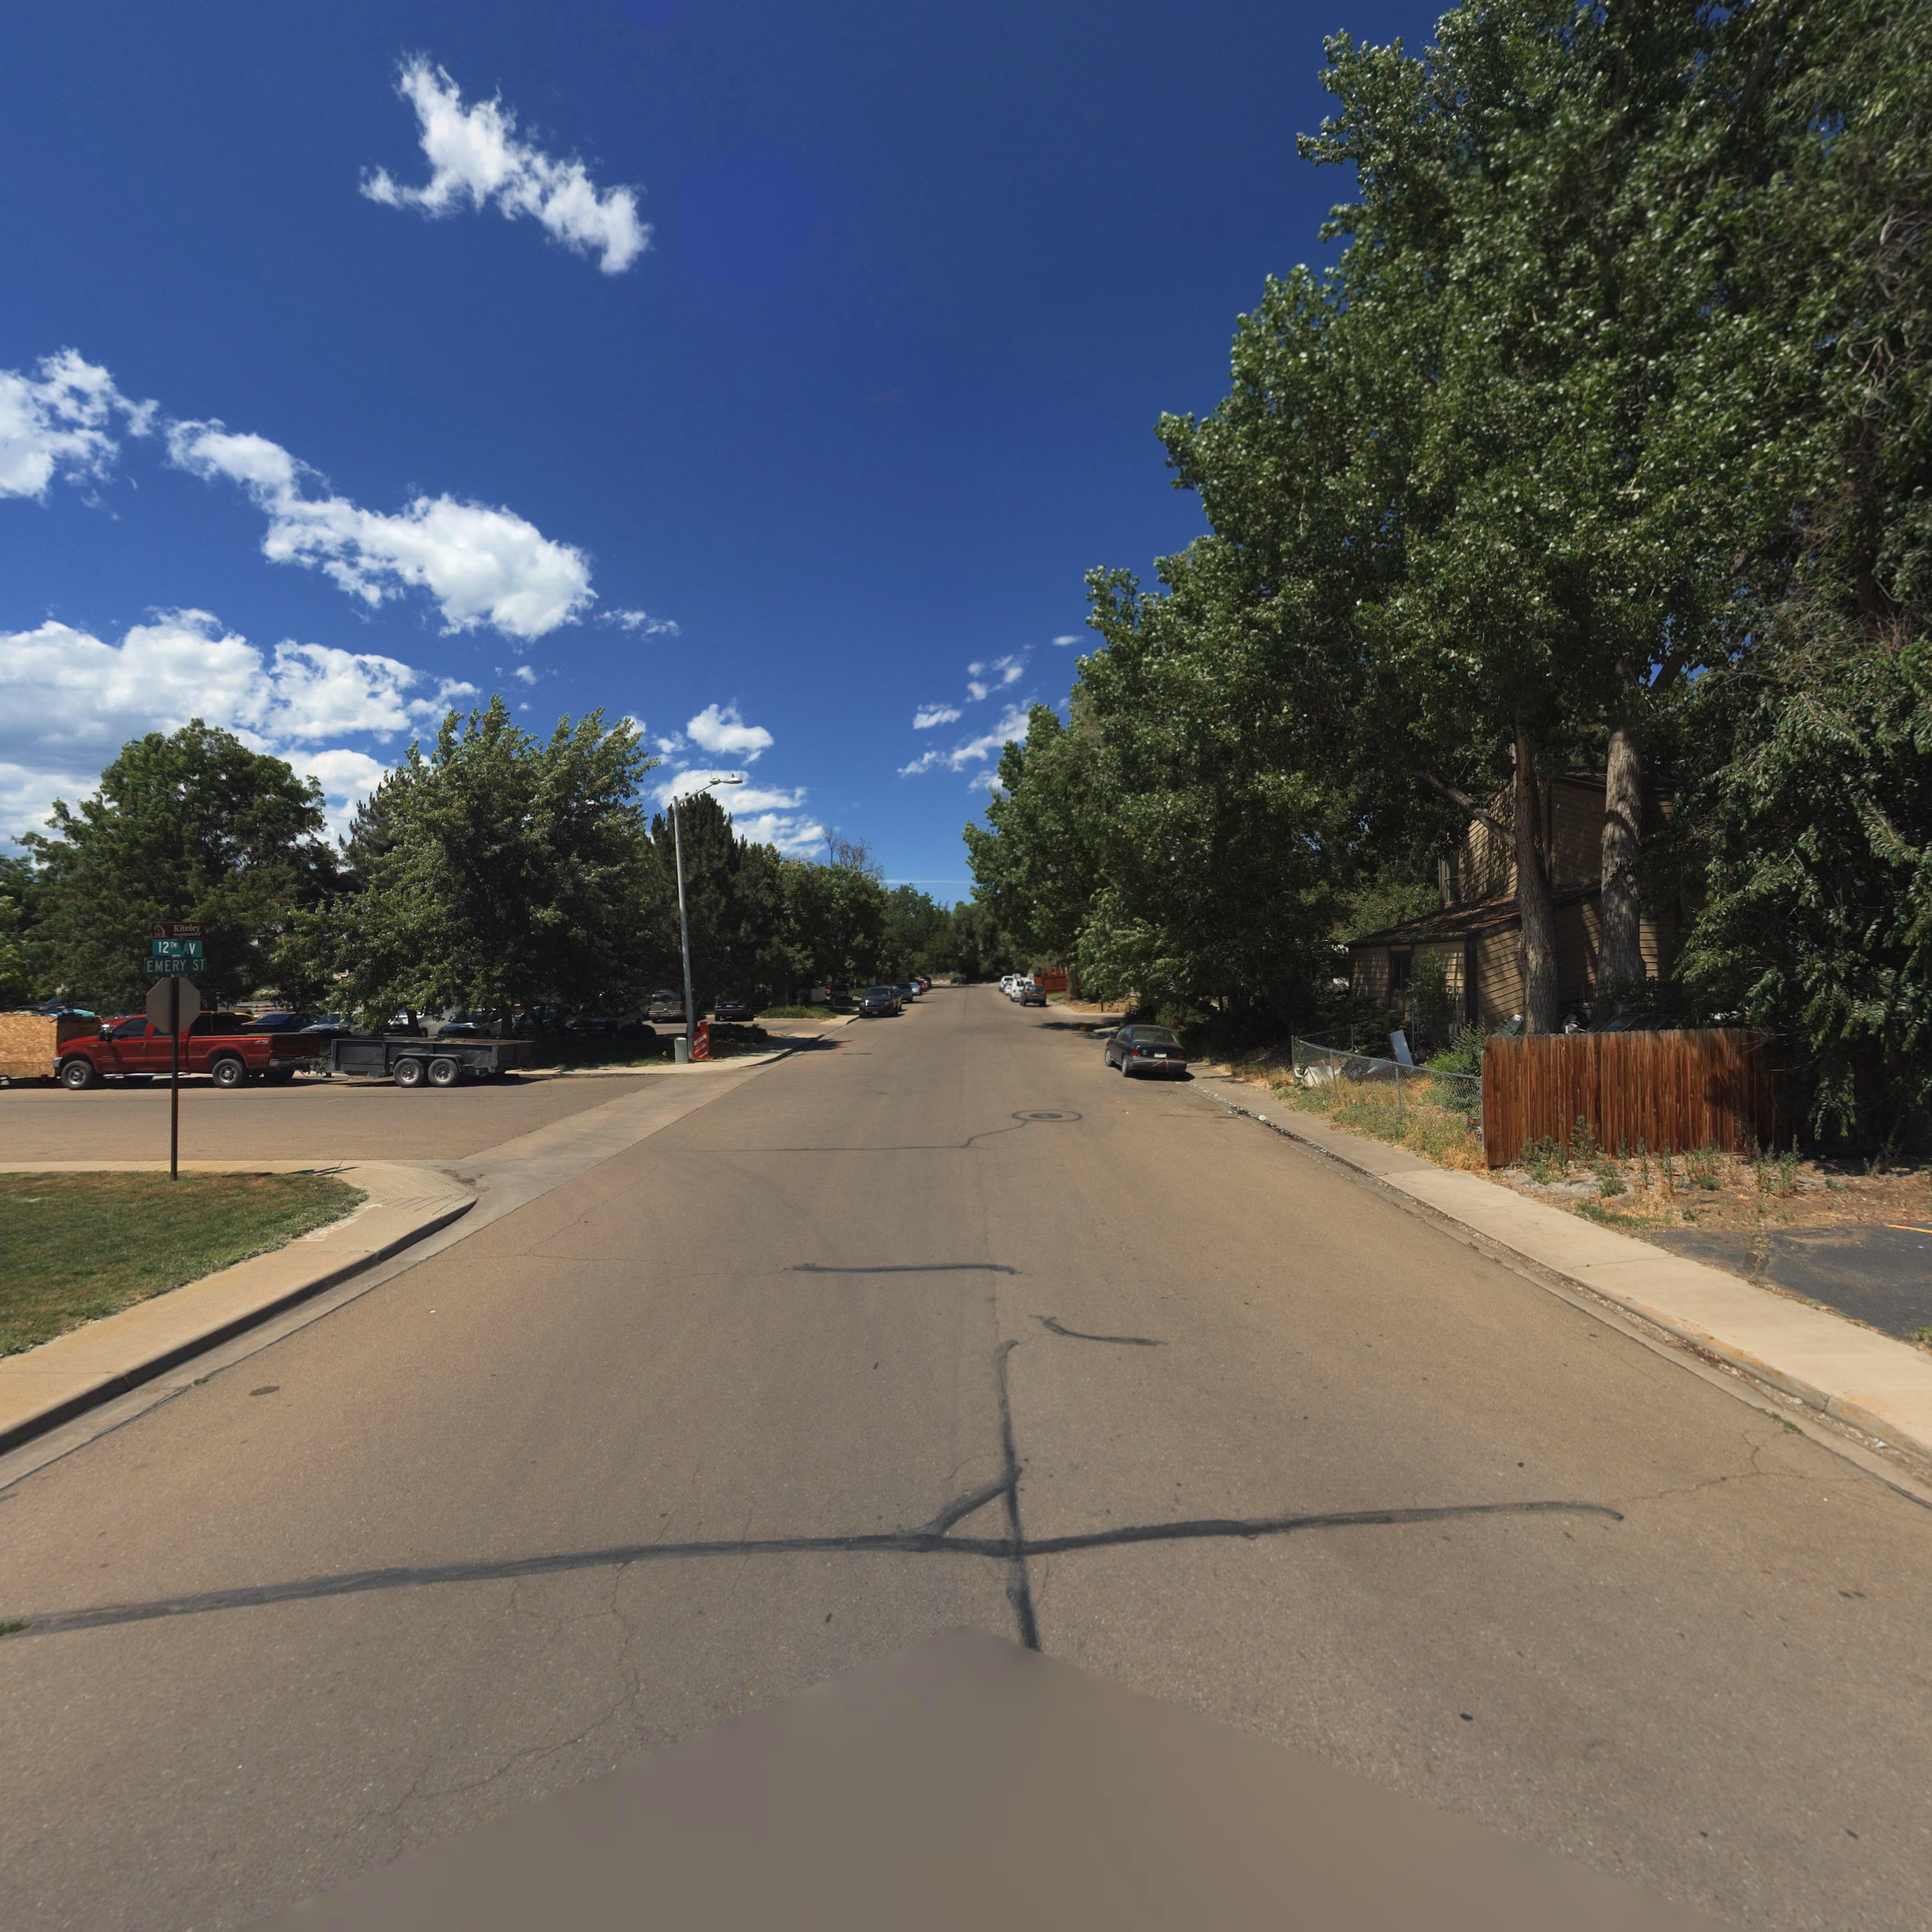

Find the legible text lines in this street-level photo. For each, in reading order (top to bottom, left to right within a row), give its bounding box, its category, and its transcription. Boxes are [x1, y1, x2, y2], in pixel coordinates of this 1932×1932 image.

[158, 941, 196, 955] StreetName: 12TH AV
[146, 959, 205, 972] StreetName: EMERY ST